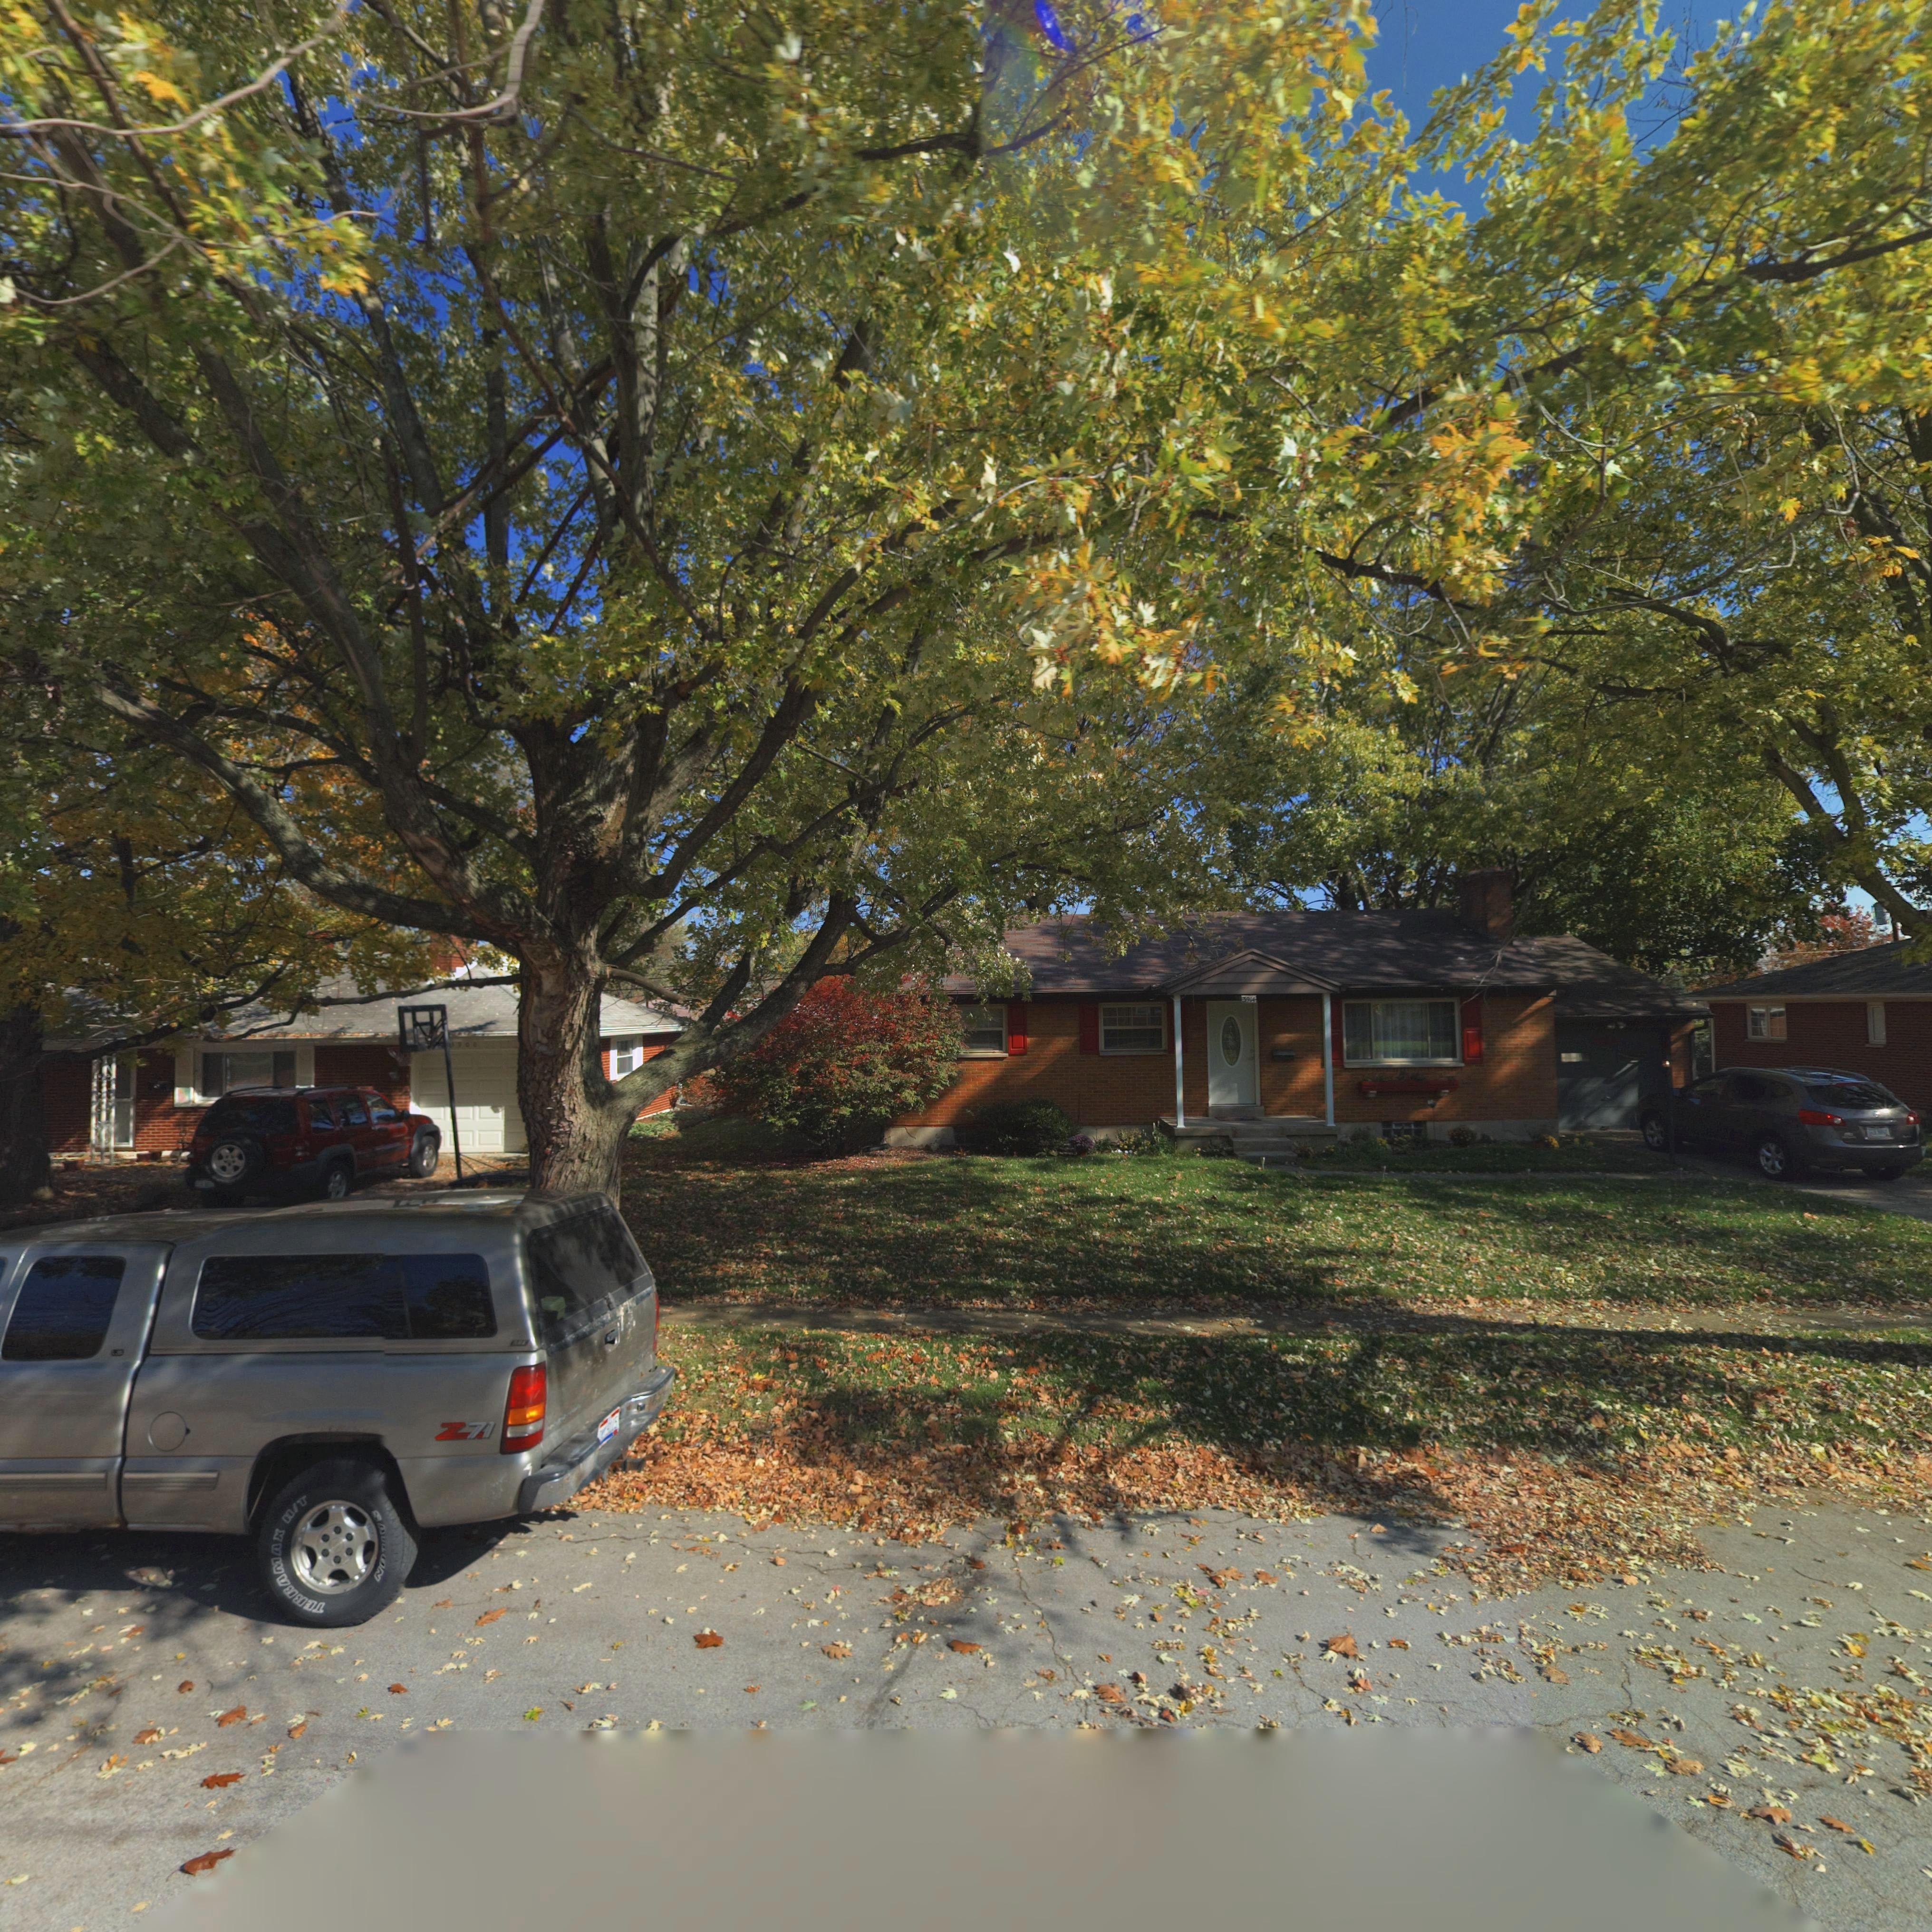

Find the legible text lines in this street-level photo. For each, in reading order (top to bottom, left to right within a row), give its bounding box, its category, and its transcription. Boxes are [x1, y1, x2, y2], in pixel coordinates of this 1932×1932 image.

[1241, 996, 1256, 1003] StreetNumber: 3914
[451, 1041, 477, 1048] StreetNumber: 3900
[434, 1420, 496, 1441] None: Z71